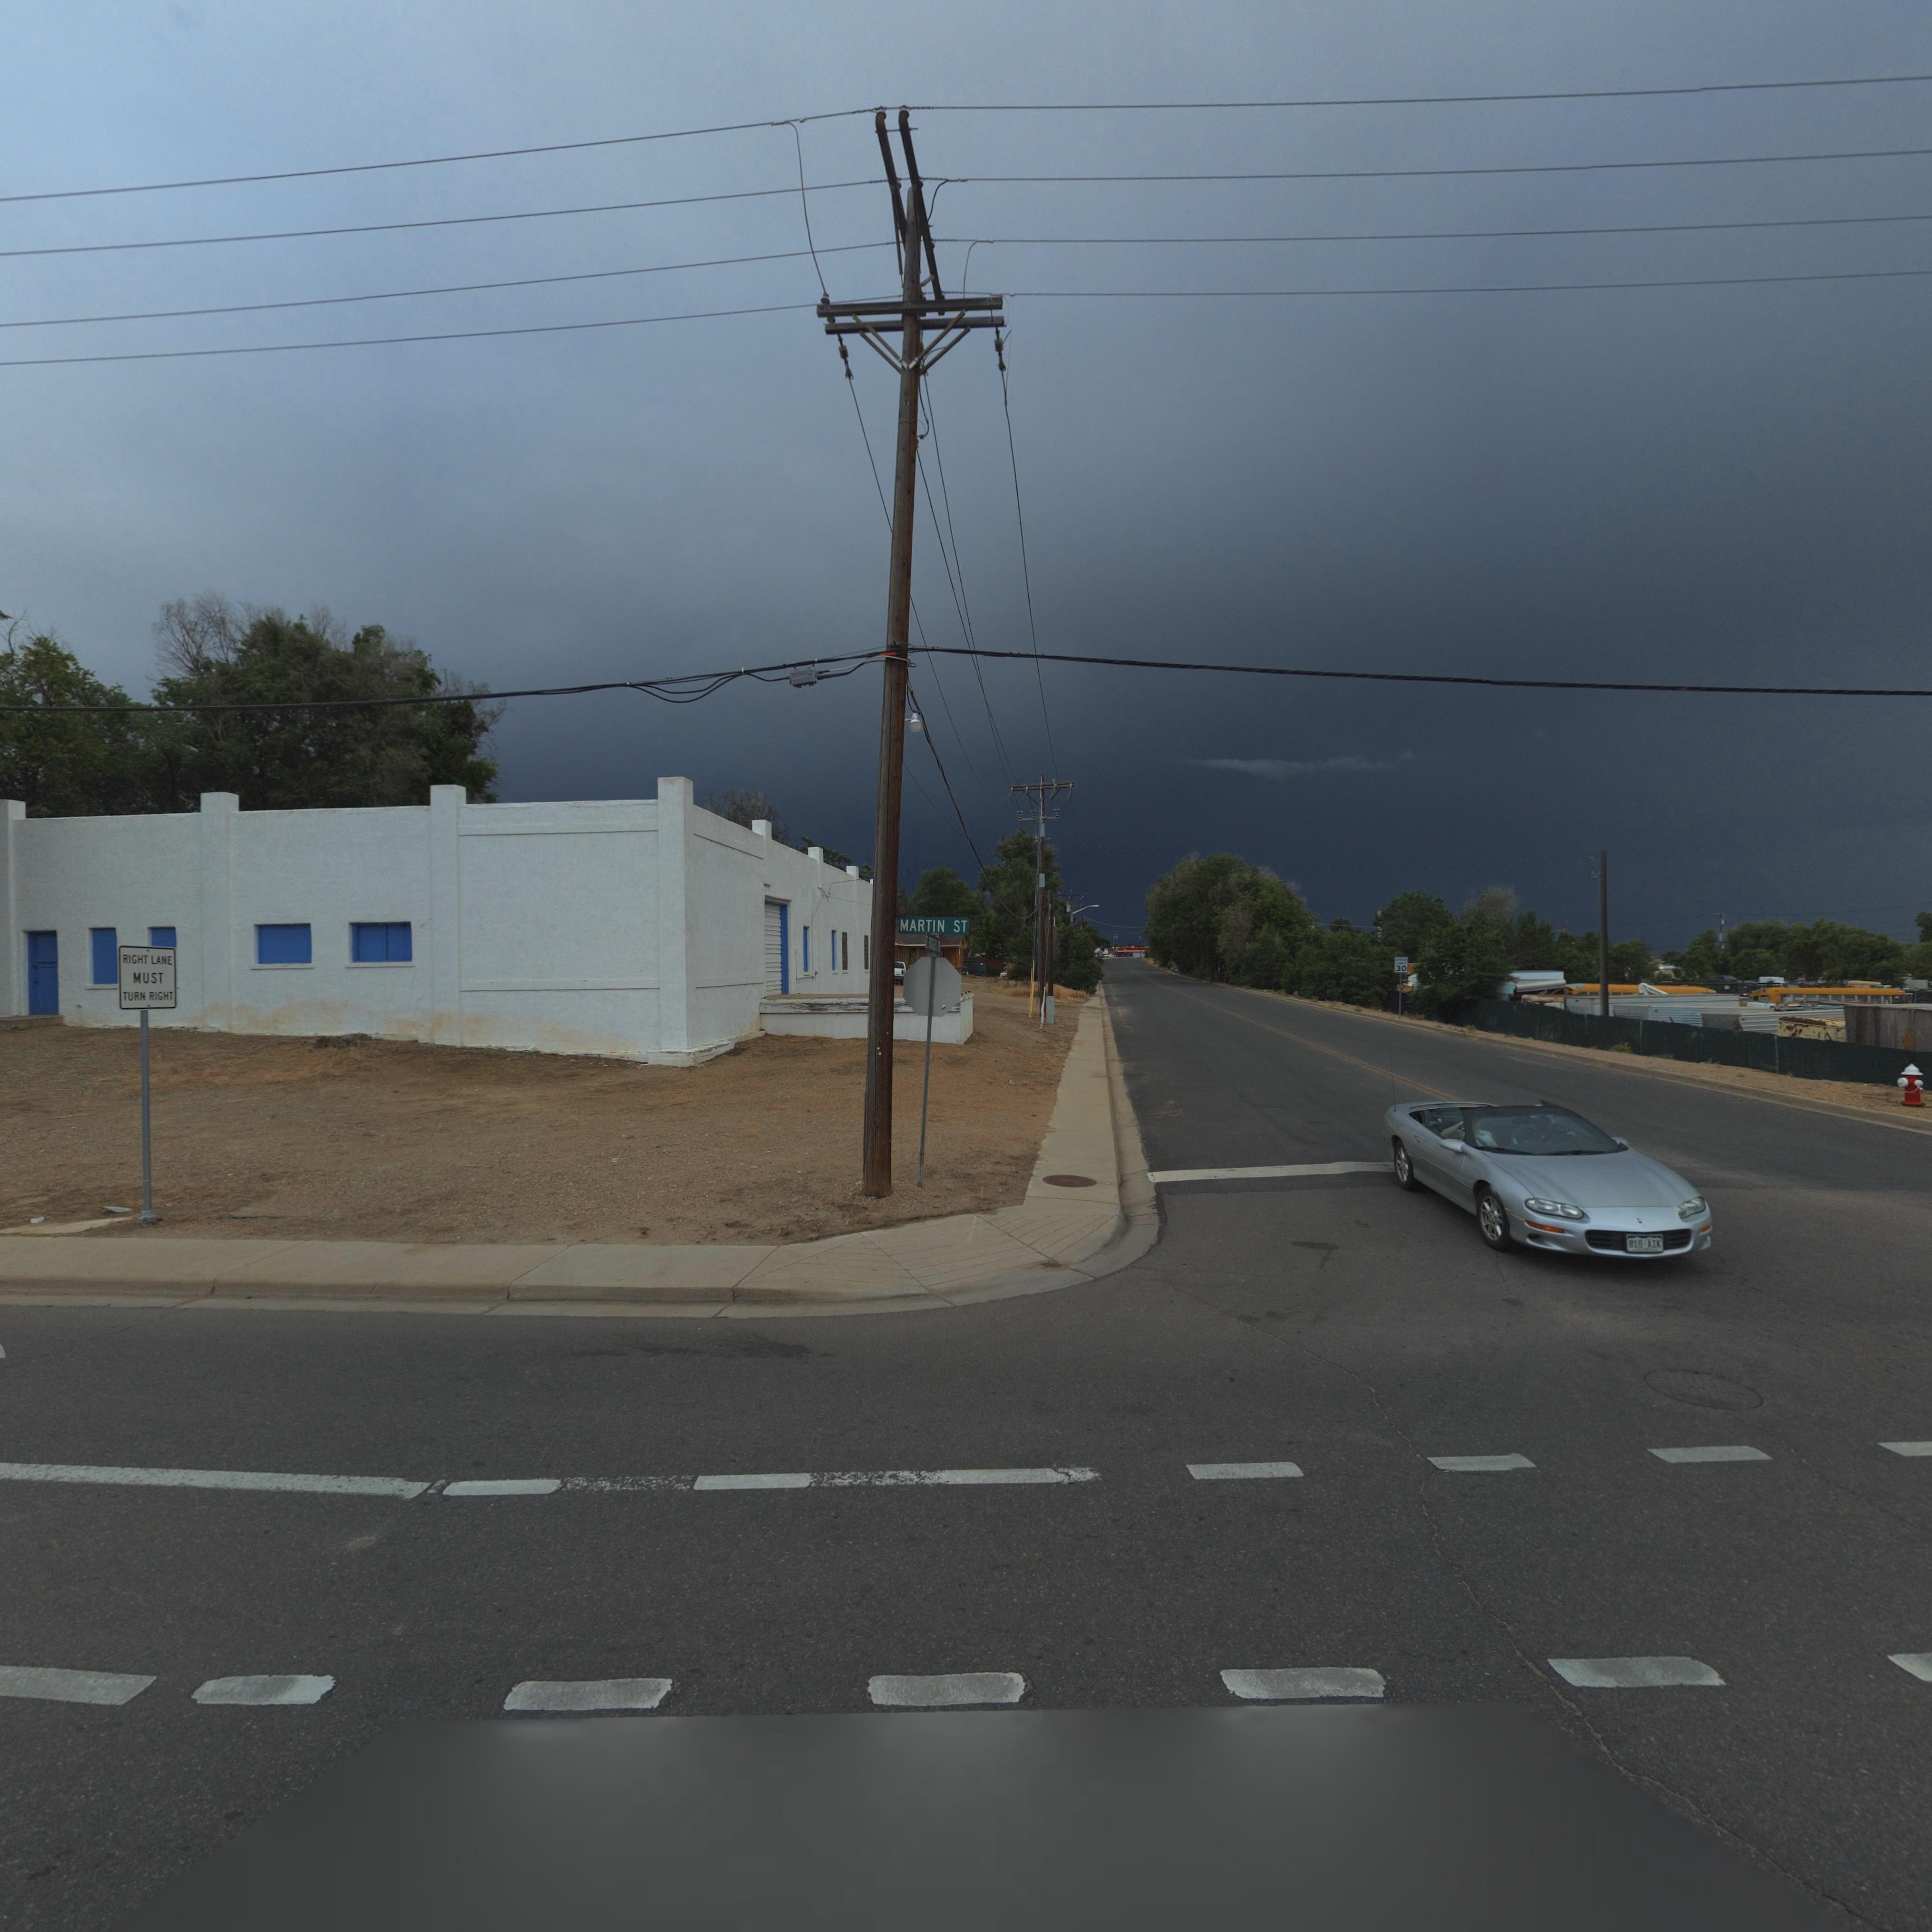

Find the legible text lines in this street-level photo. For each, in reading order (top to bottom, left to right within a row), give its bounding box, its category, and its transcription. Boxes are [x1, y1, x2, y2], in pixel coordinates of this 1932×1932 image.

[898, 918, 968, 933] StreetName: MARTIN ST
[925, 935, 941, 953] StreetName: E ***ERS **